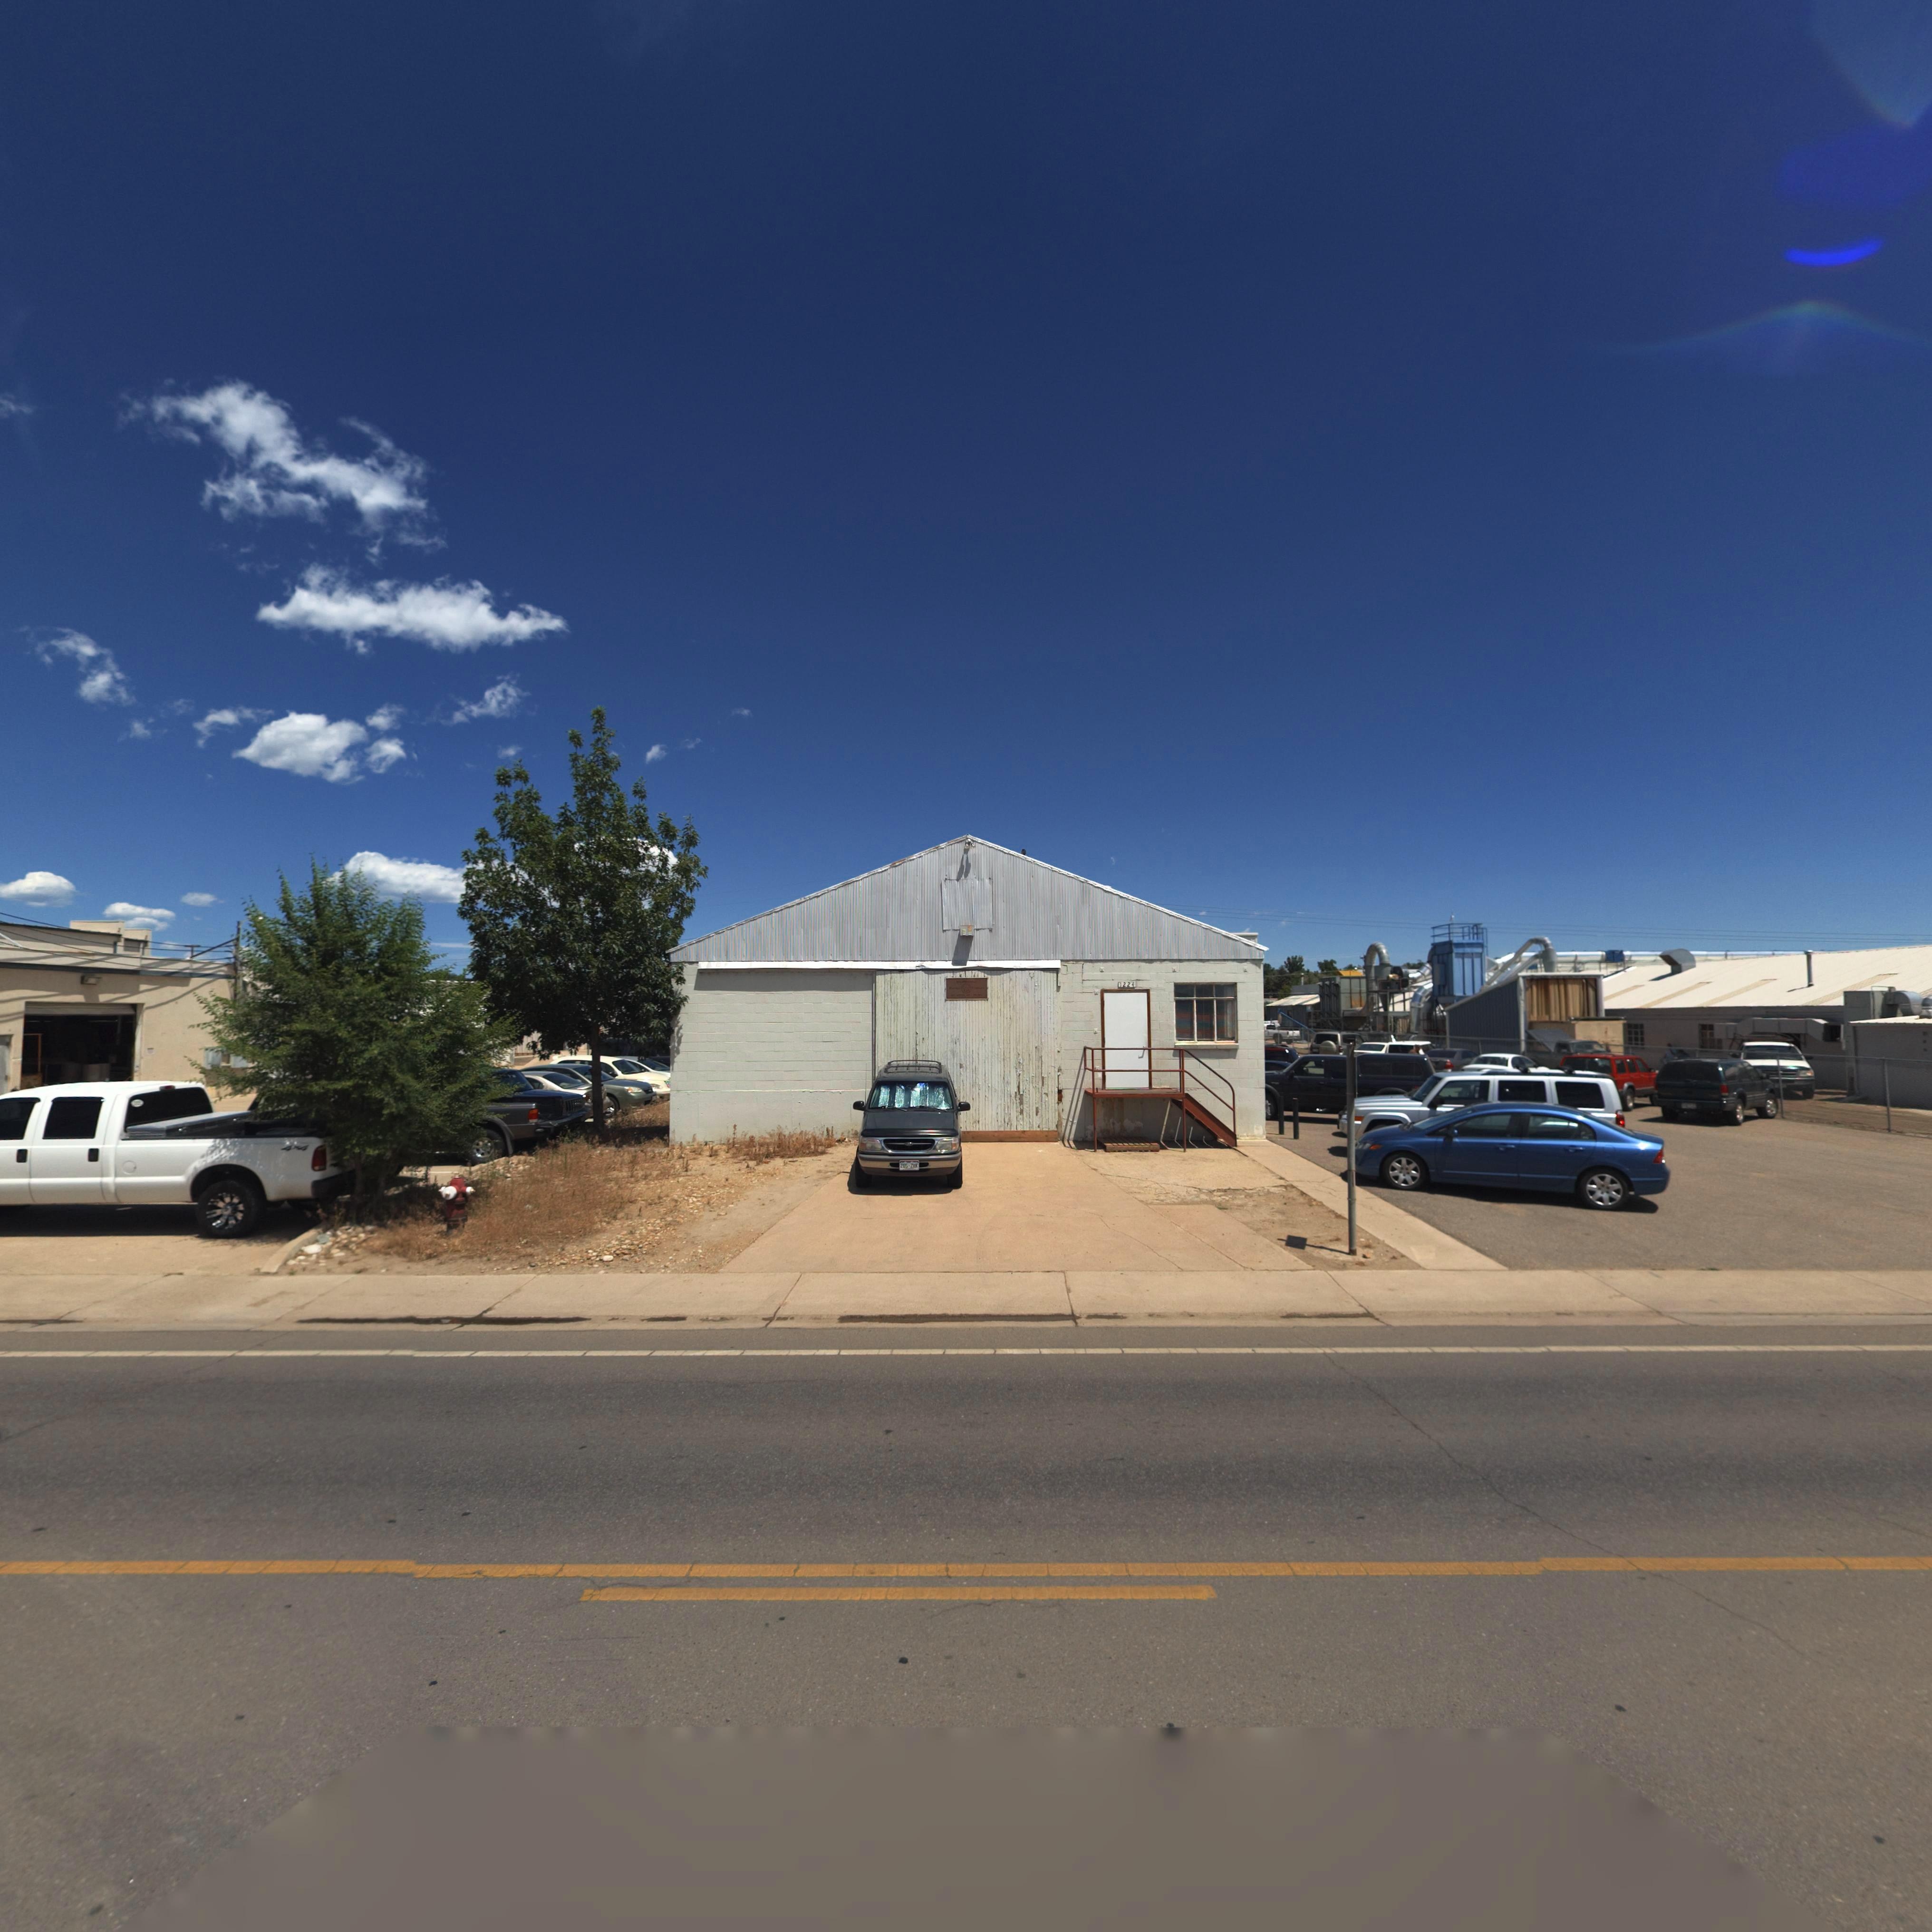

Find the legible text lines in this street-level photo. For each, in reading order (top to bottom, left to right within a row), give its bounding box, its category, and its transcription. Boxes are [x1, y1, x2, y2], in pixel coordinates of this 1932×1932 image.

[1120, 981, 1135, 987] StreetNumber: 1224